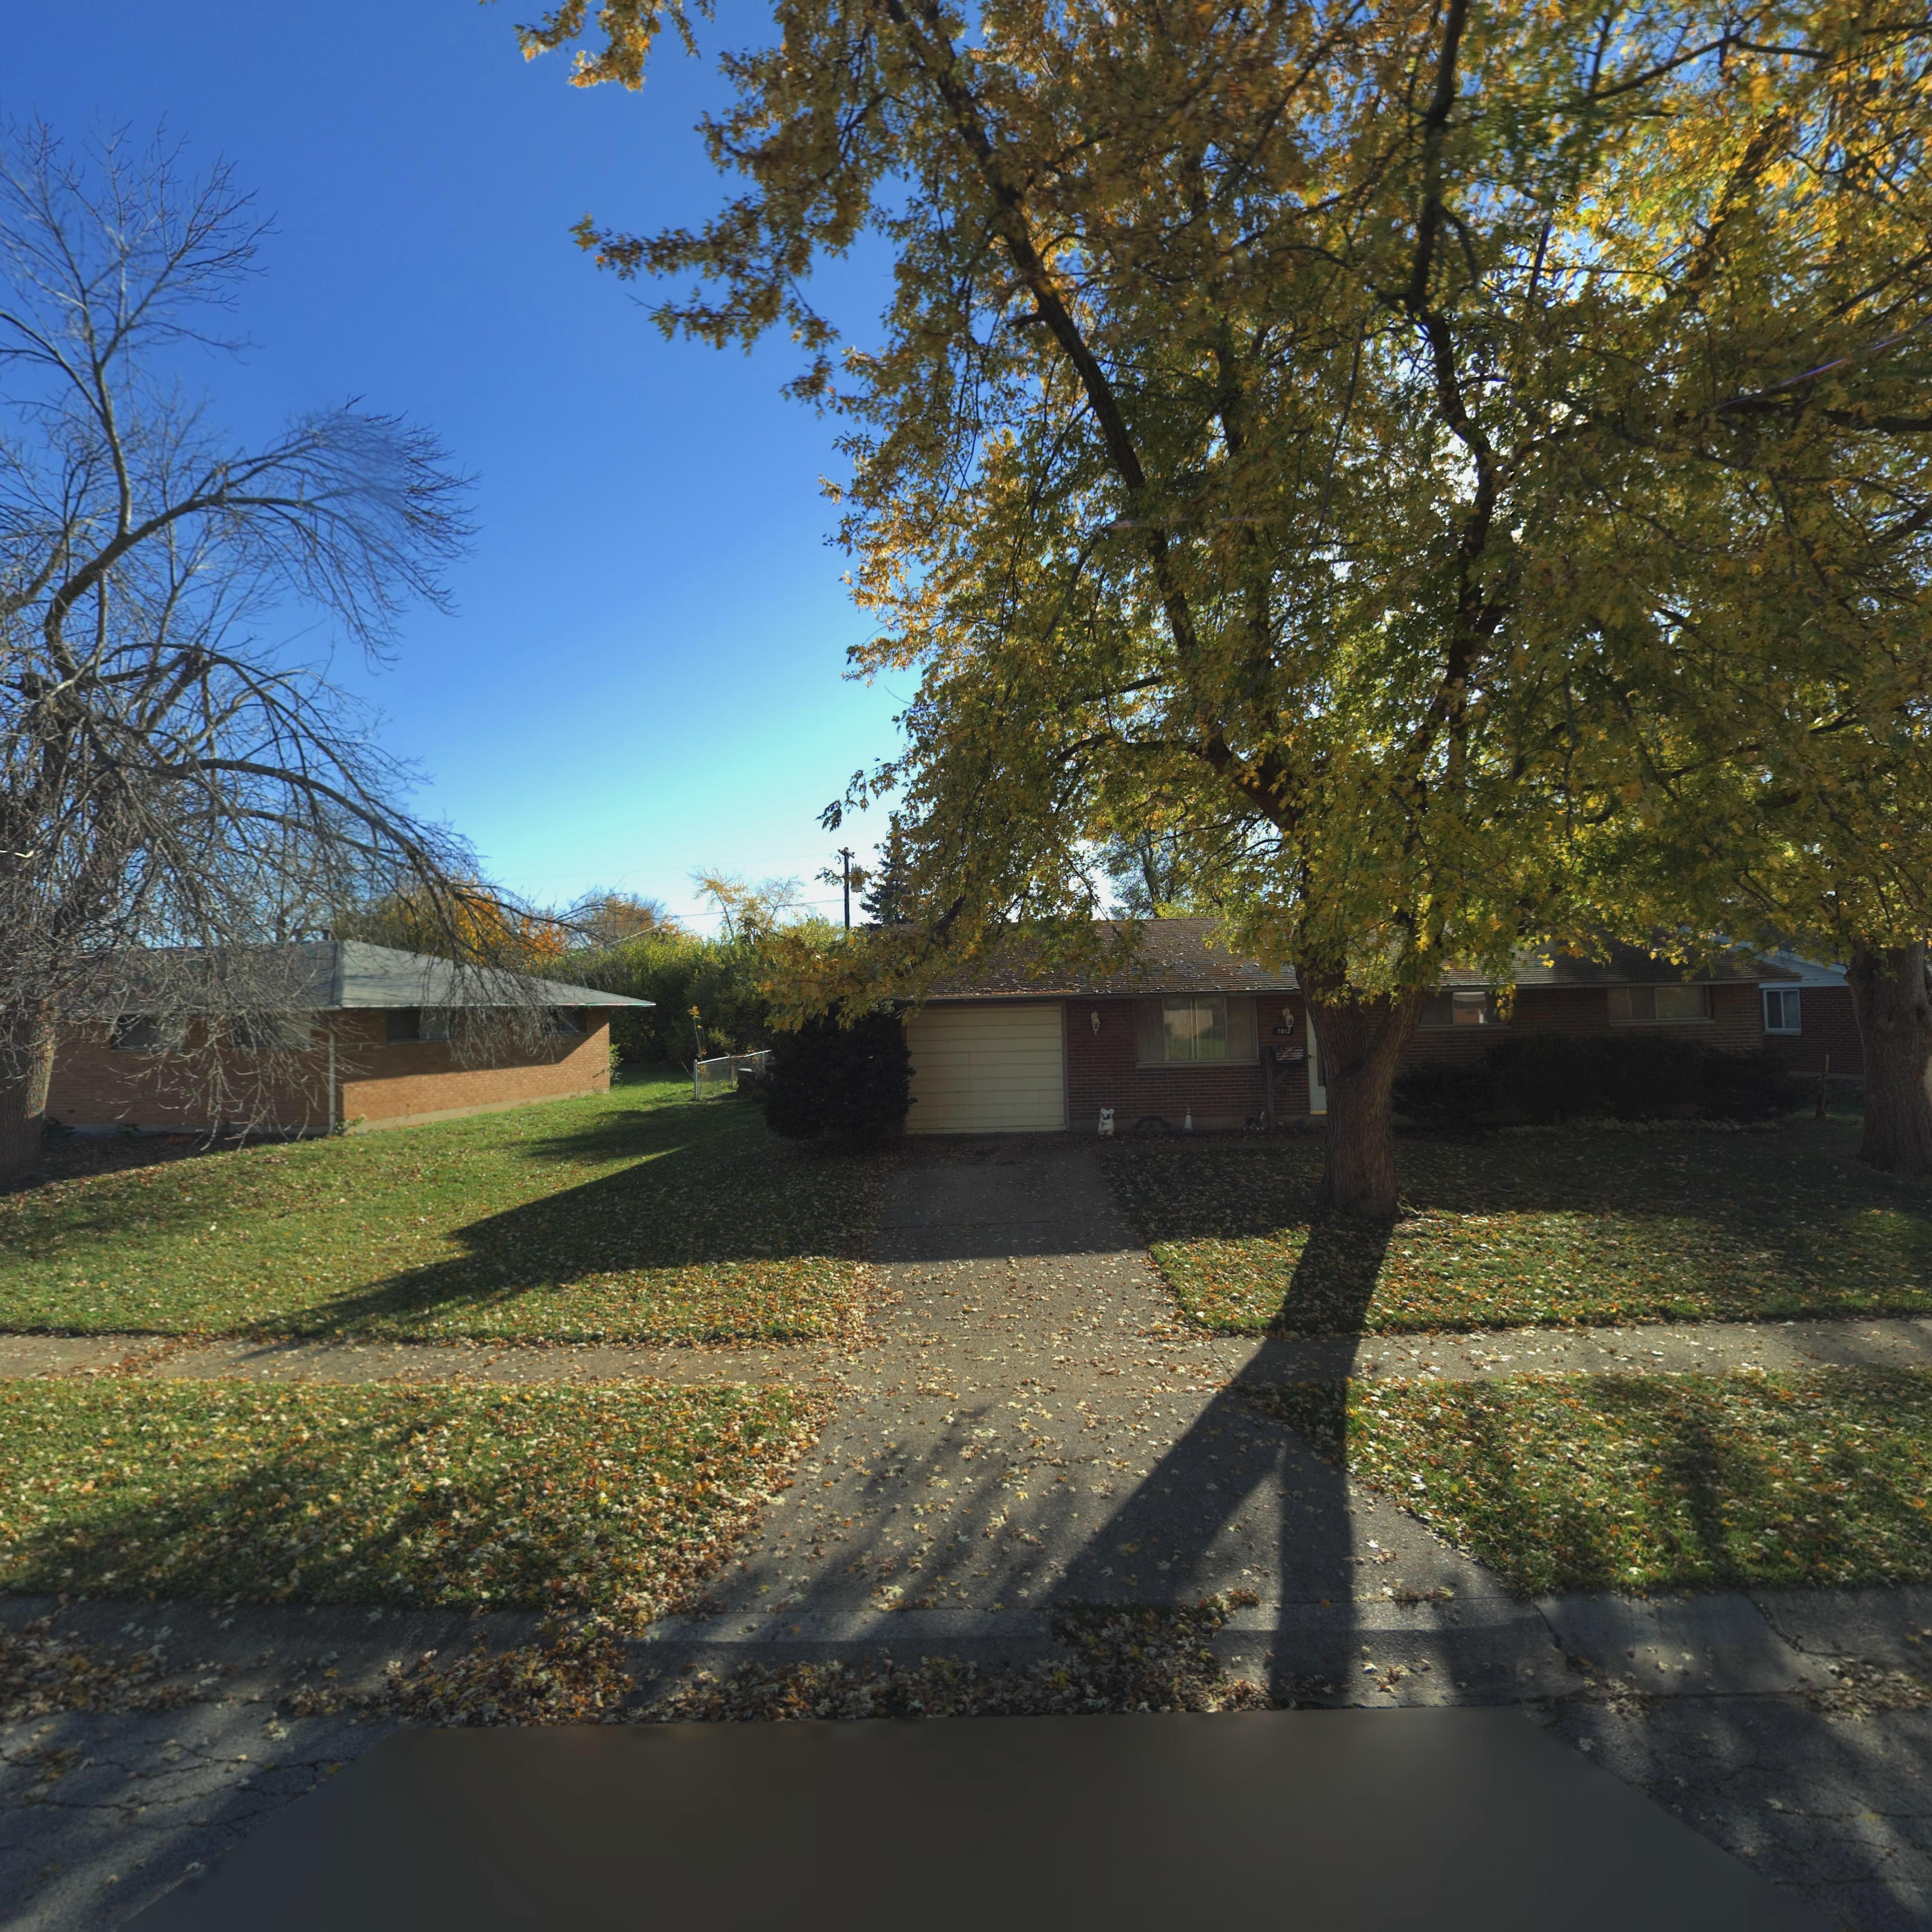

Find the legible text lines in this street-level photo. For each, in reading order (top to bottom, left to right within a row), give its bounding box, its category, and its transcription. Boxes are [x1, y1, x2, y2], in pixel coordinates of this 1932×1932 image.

[1277, 1028, 1291, 1034] StreetNumber: 7812